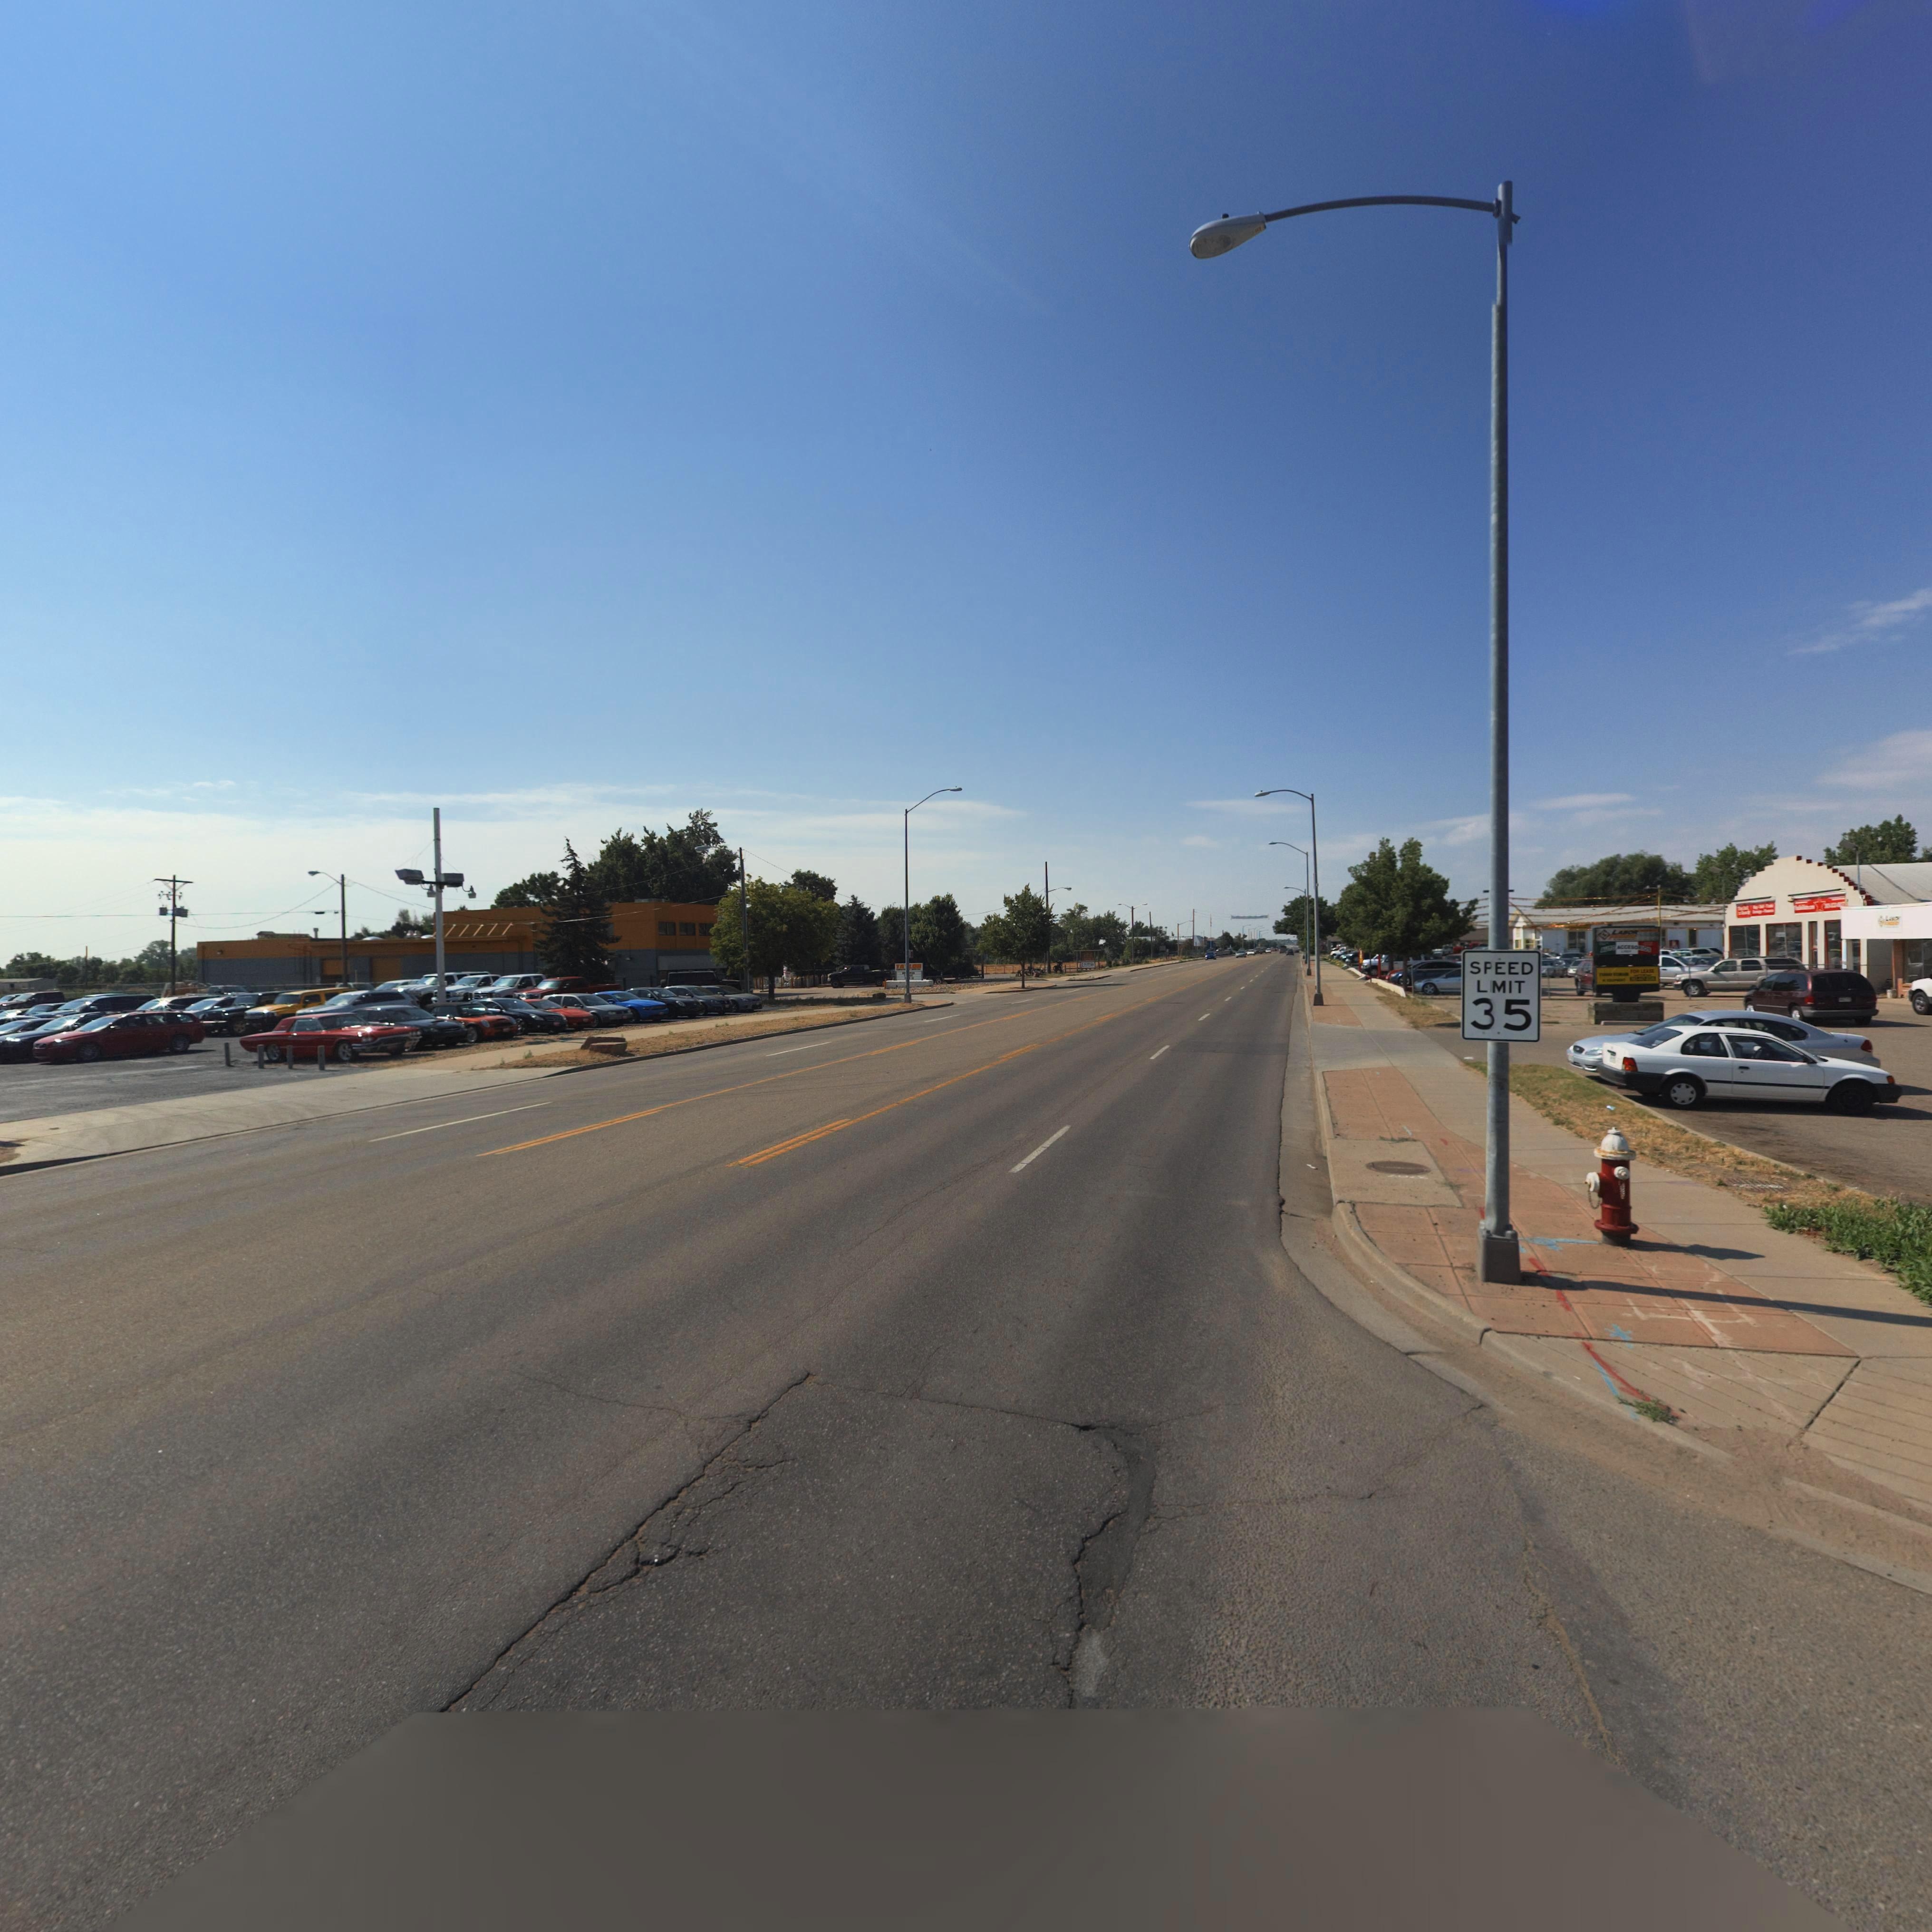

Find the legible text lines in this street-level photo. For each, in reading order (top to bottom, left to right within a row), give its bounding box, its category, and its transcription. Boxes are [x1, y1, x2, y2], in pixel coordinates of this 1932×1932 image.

[1884, 915, 1901, 921] BusinessName: L****
[1611, 929, 1638, 935] BusinessName: LABOR
[1608, 934, 1636, 940] BusinessName: F******
[896, 964, 921, 968] BusinessName: TAYLOR